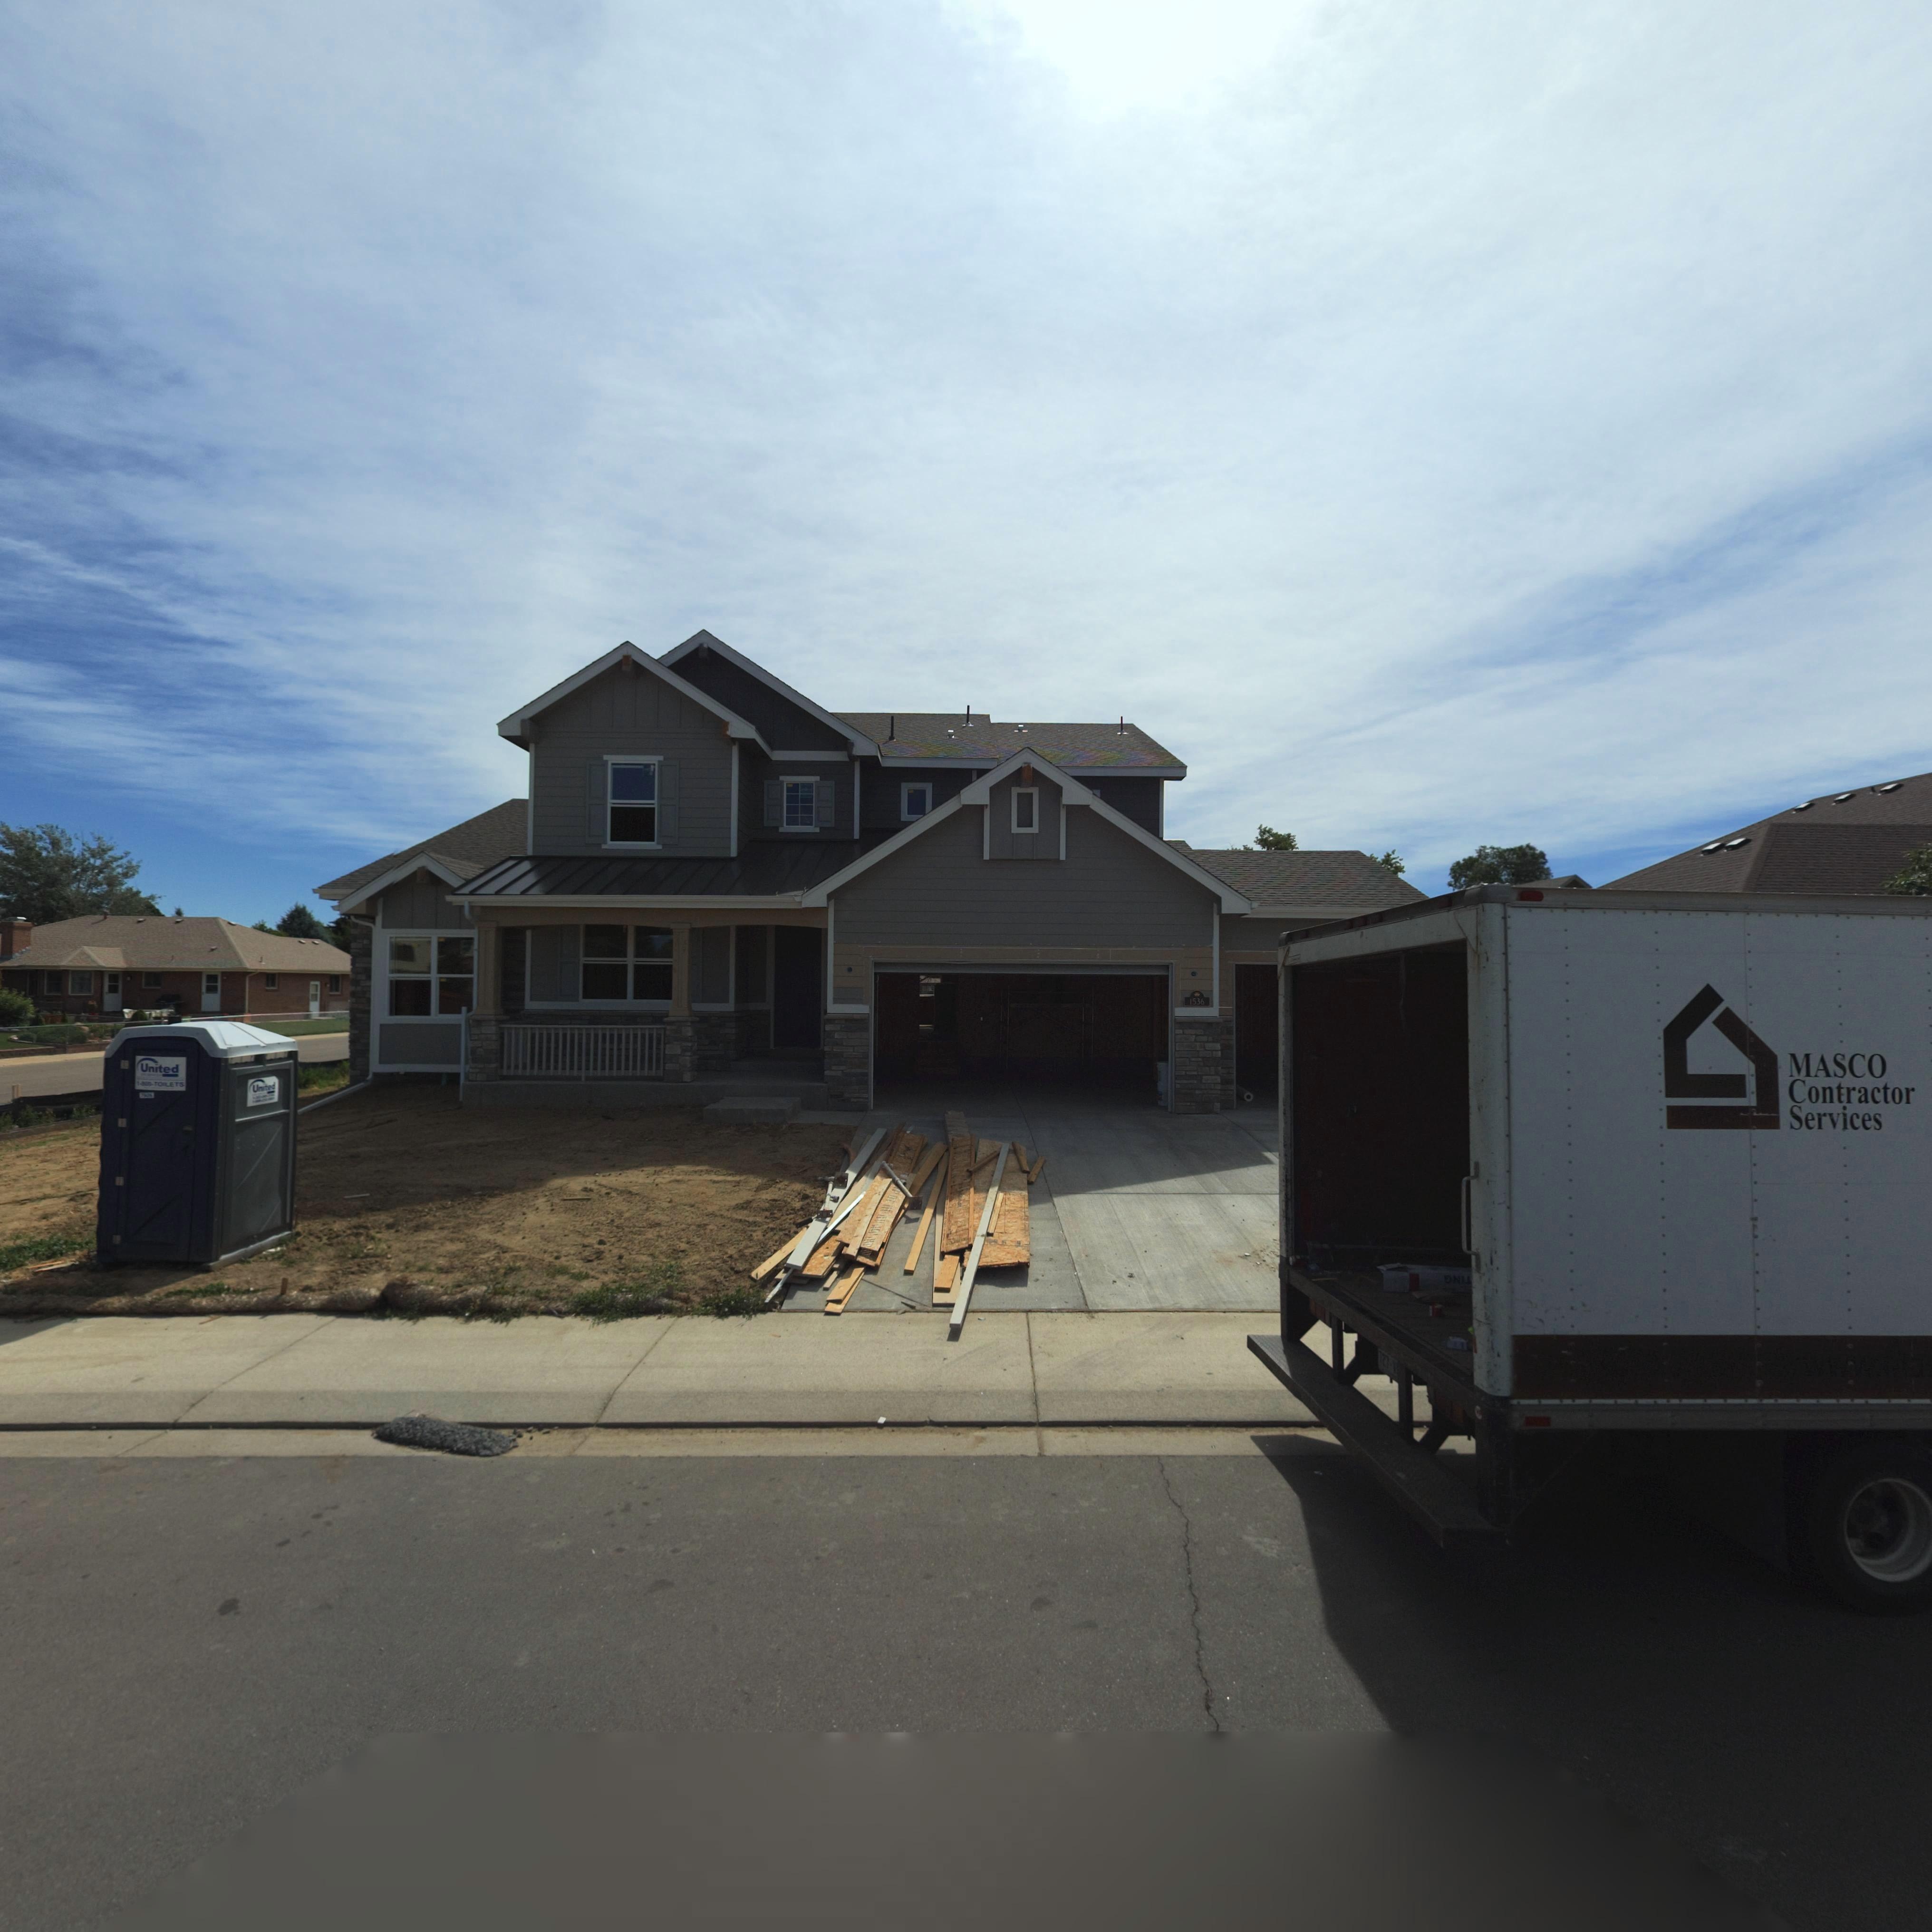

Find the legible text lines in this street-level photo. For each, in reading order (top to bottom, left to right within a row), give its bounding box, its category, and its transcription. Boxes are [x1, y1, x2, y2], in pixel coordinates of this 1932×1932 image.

[1189, 997, 1205, 1005] StreetNumber: 1536